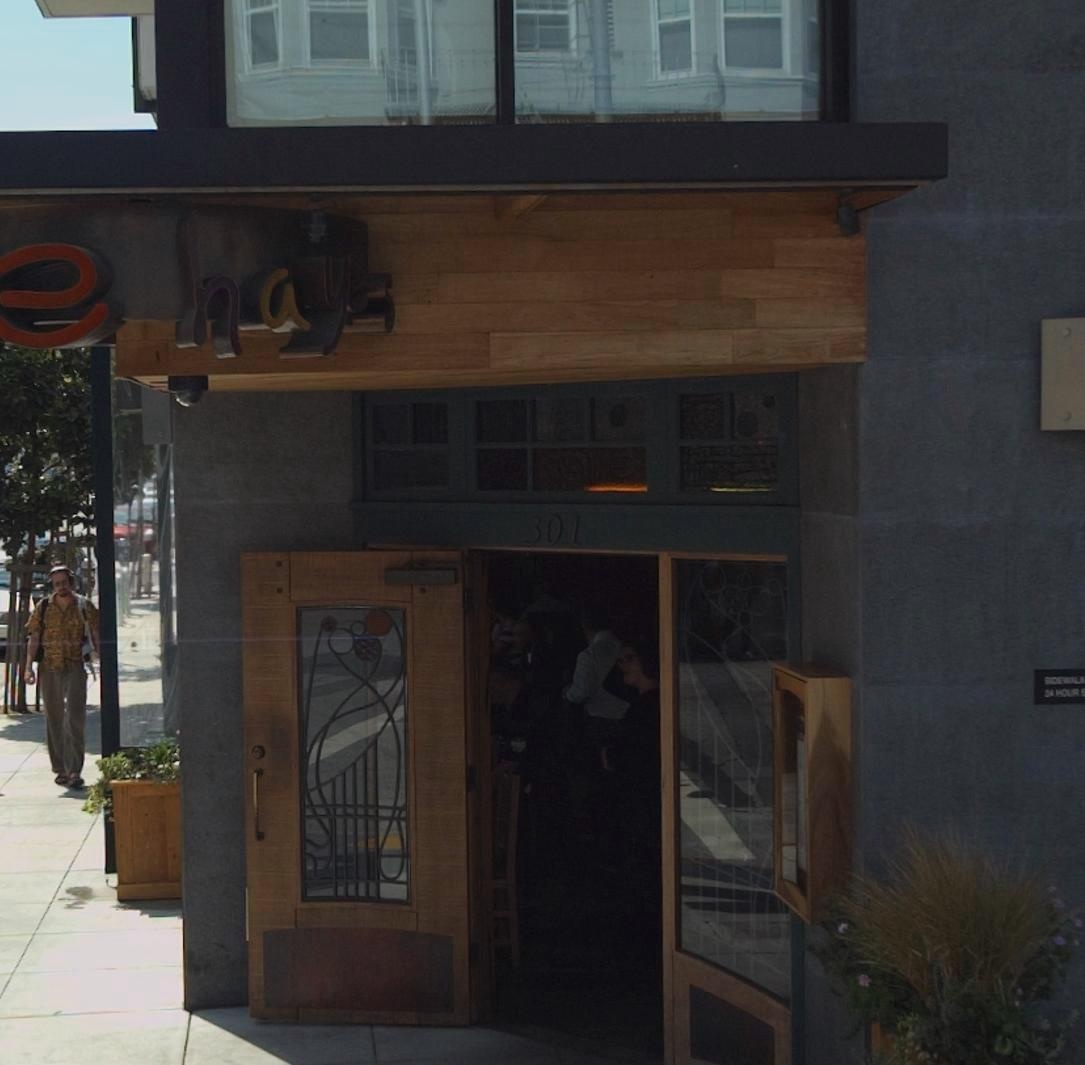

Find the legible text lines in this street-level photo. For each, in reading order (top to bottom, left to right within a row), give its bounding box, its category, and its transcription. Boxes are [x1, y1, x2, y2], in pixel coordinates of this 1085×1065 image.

[166, 207, 359, 364] BusinessName: hay
[523, 514, 583, 546] StreetNumber: 301